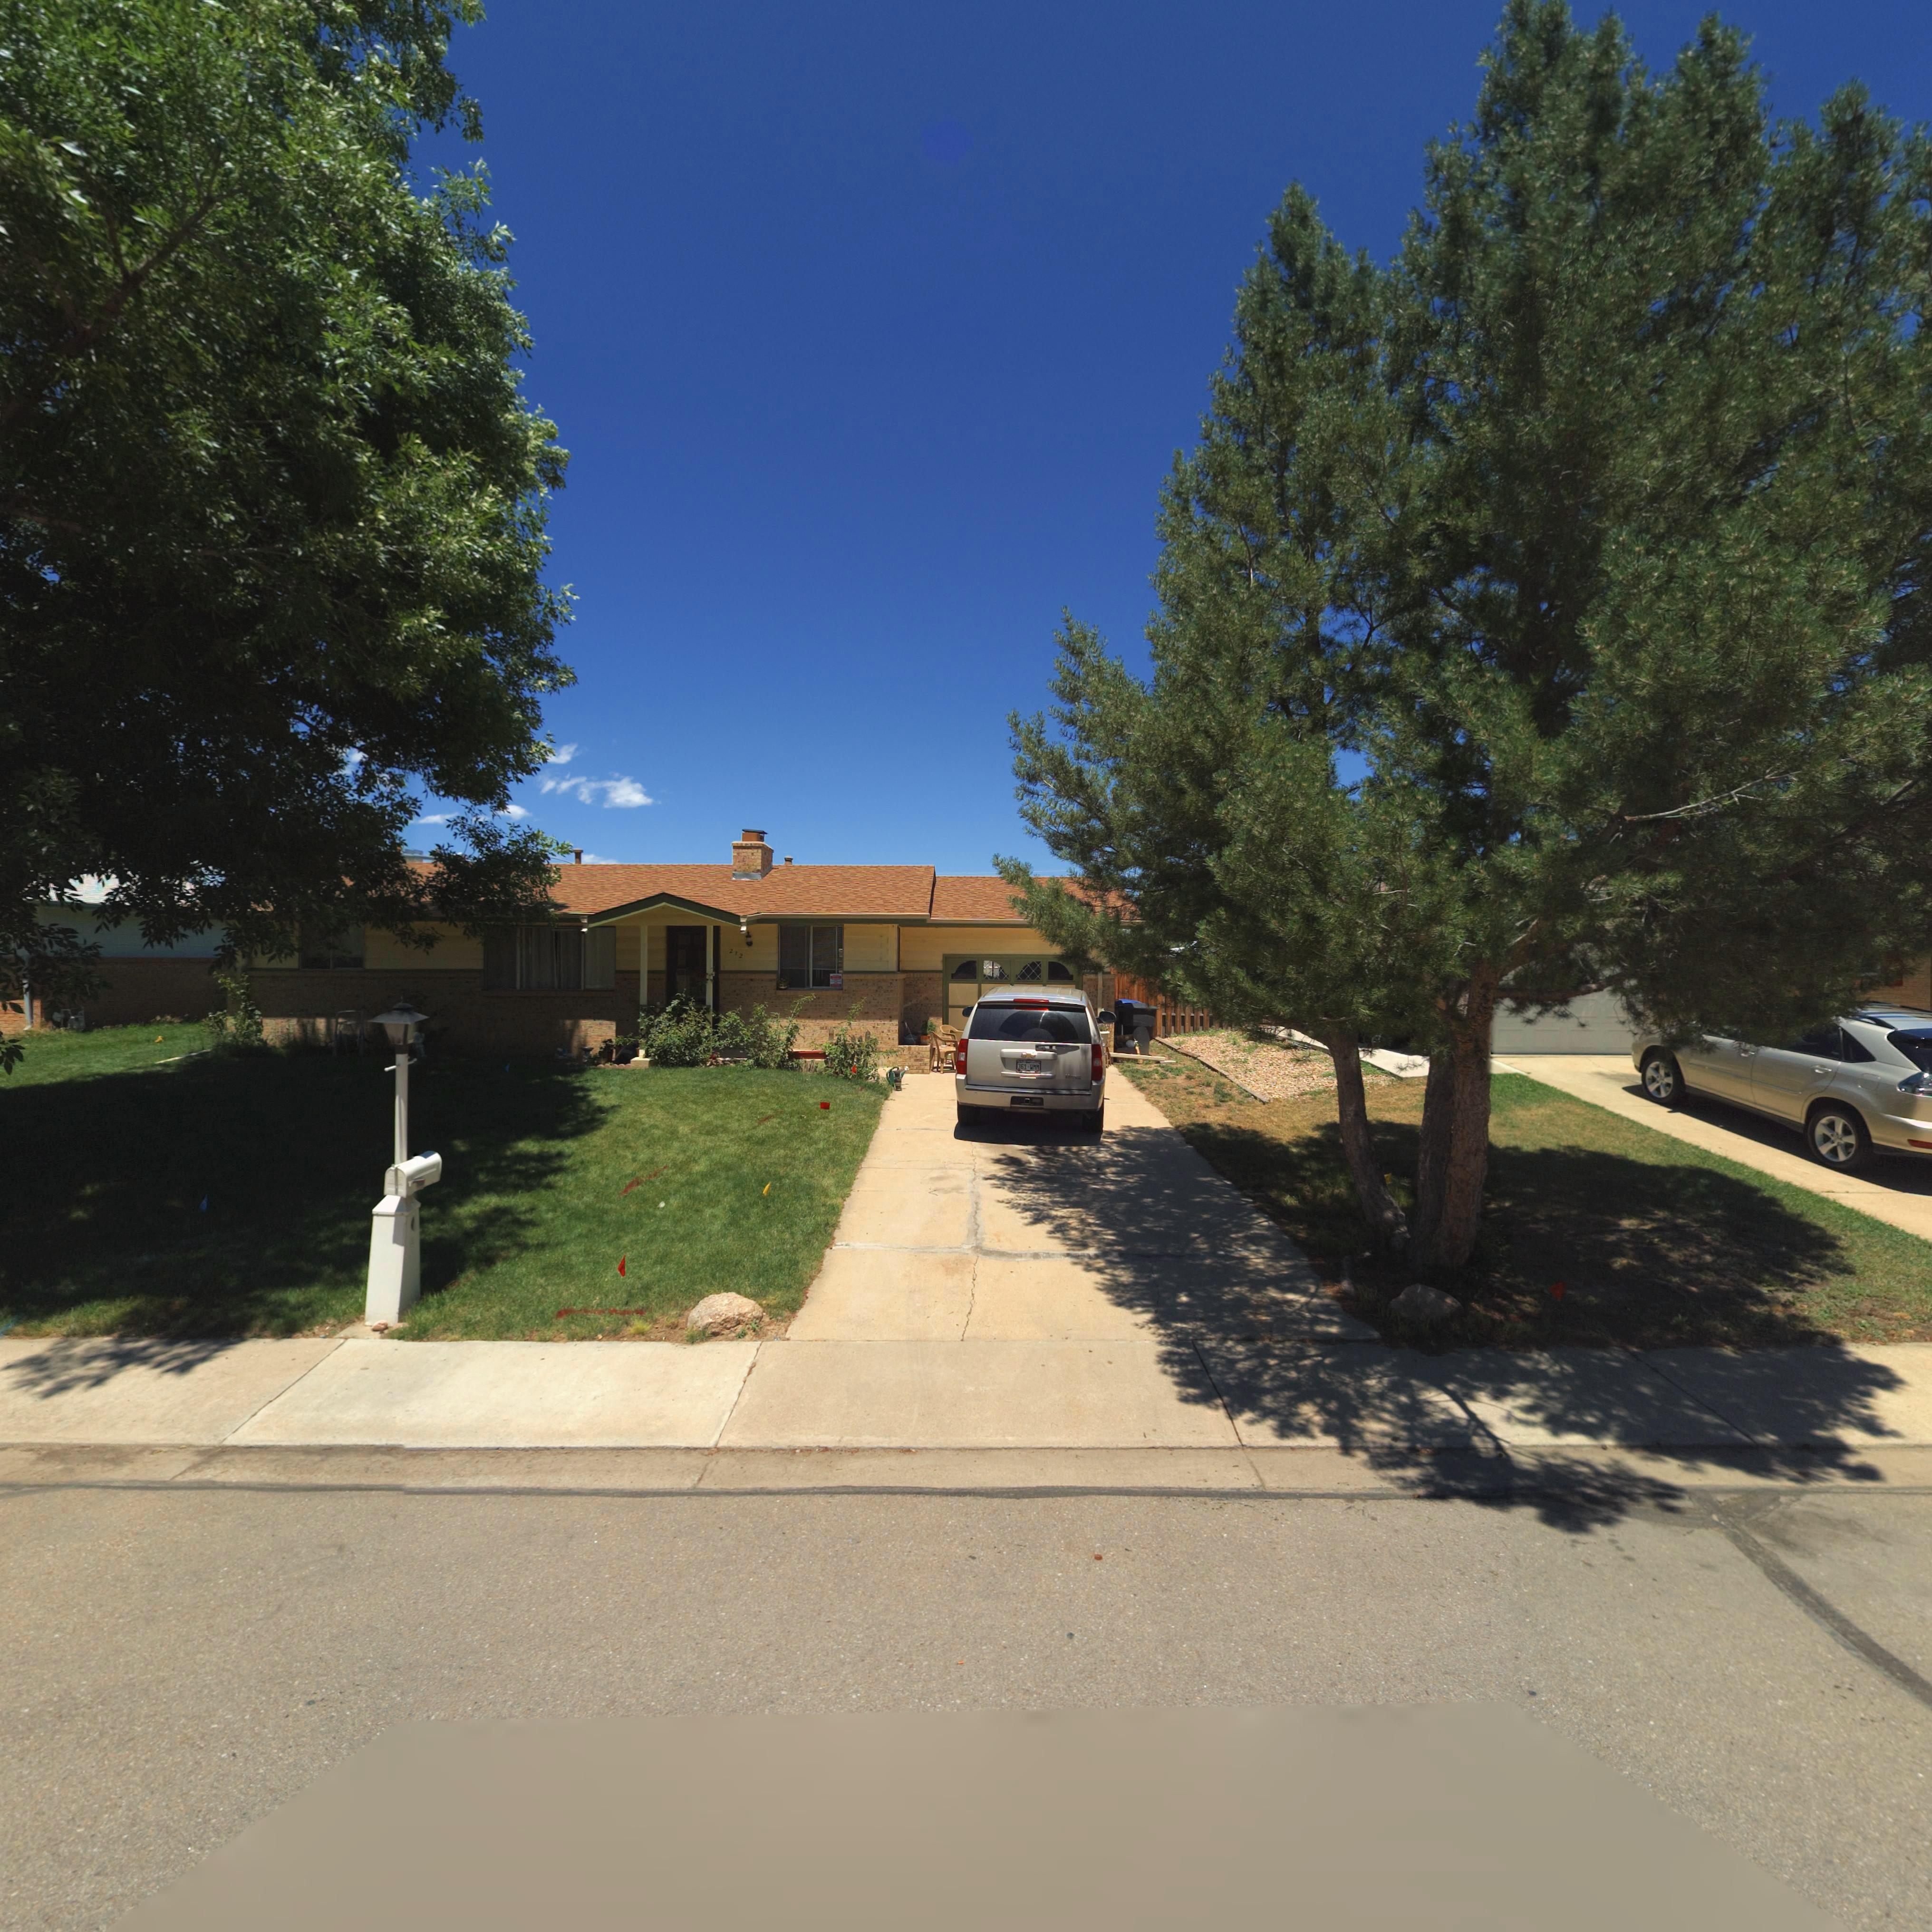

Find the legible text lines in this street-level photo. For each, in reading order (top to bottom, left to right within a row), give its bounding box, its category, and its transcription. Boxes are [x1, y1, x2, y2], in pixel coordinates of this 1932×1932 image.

[729, 948, 743, 958] StreetNumber: 212